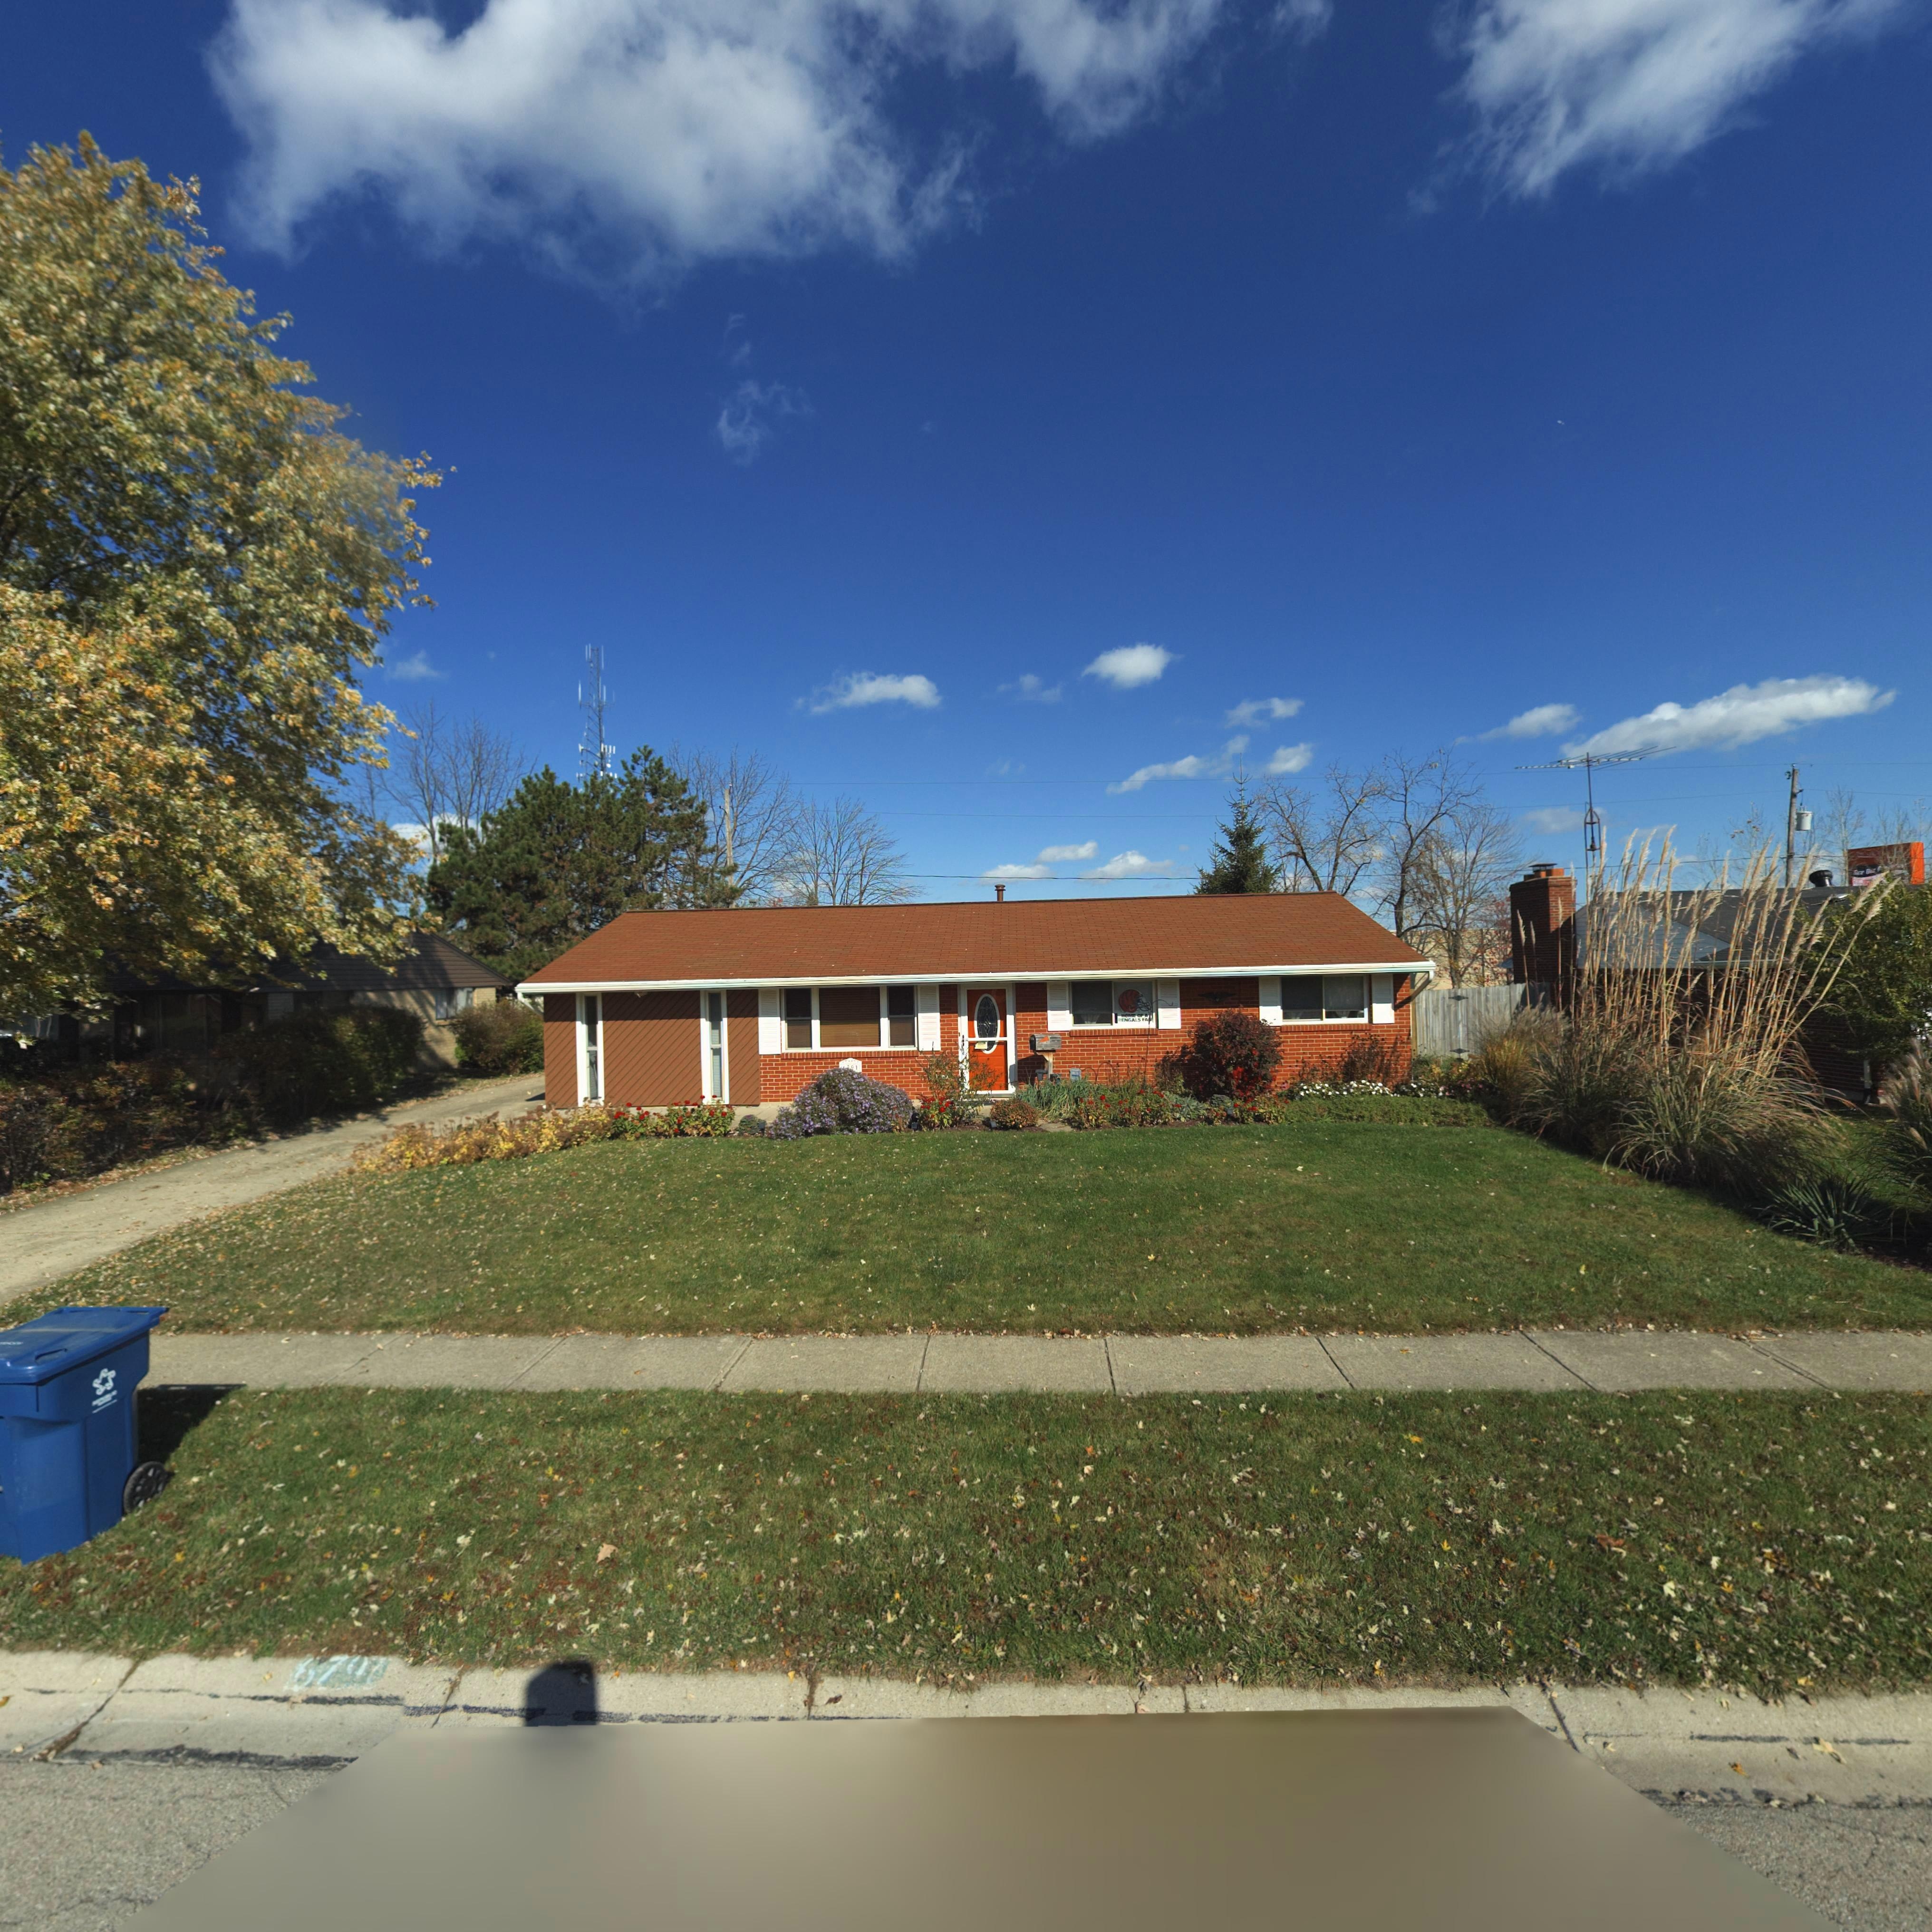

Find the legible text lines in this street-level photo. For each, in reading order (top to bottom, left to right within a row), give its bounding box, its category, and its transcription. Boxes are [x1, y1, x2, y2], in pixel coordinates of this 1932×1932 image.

[855, 1064, 859, 1071] StreetNumber: 1